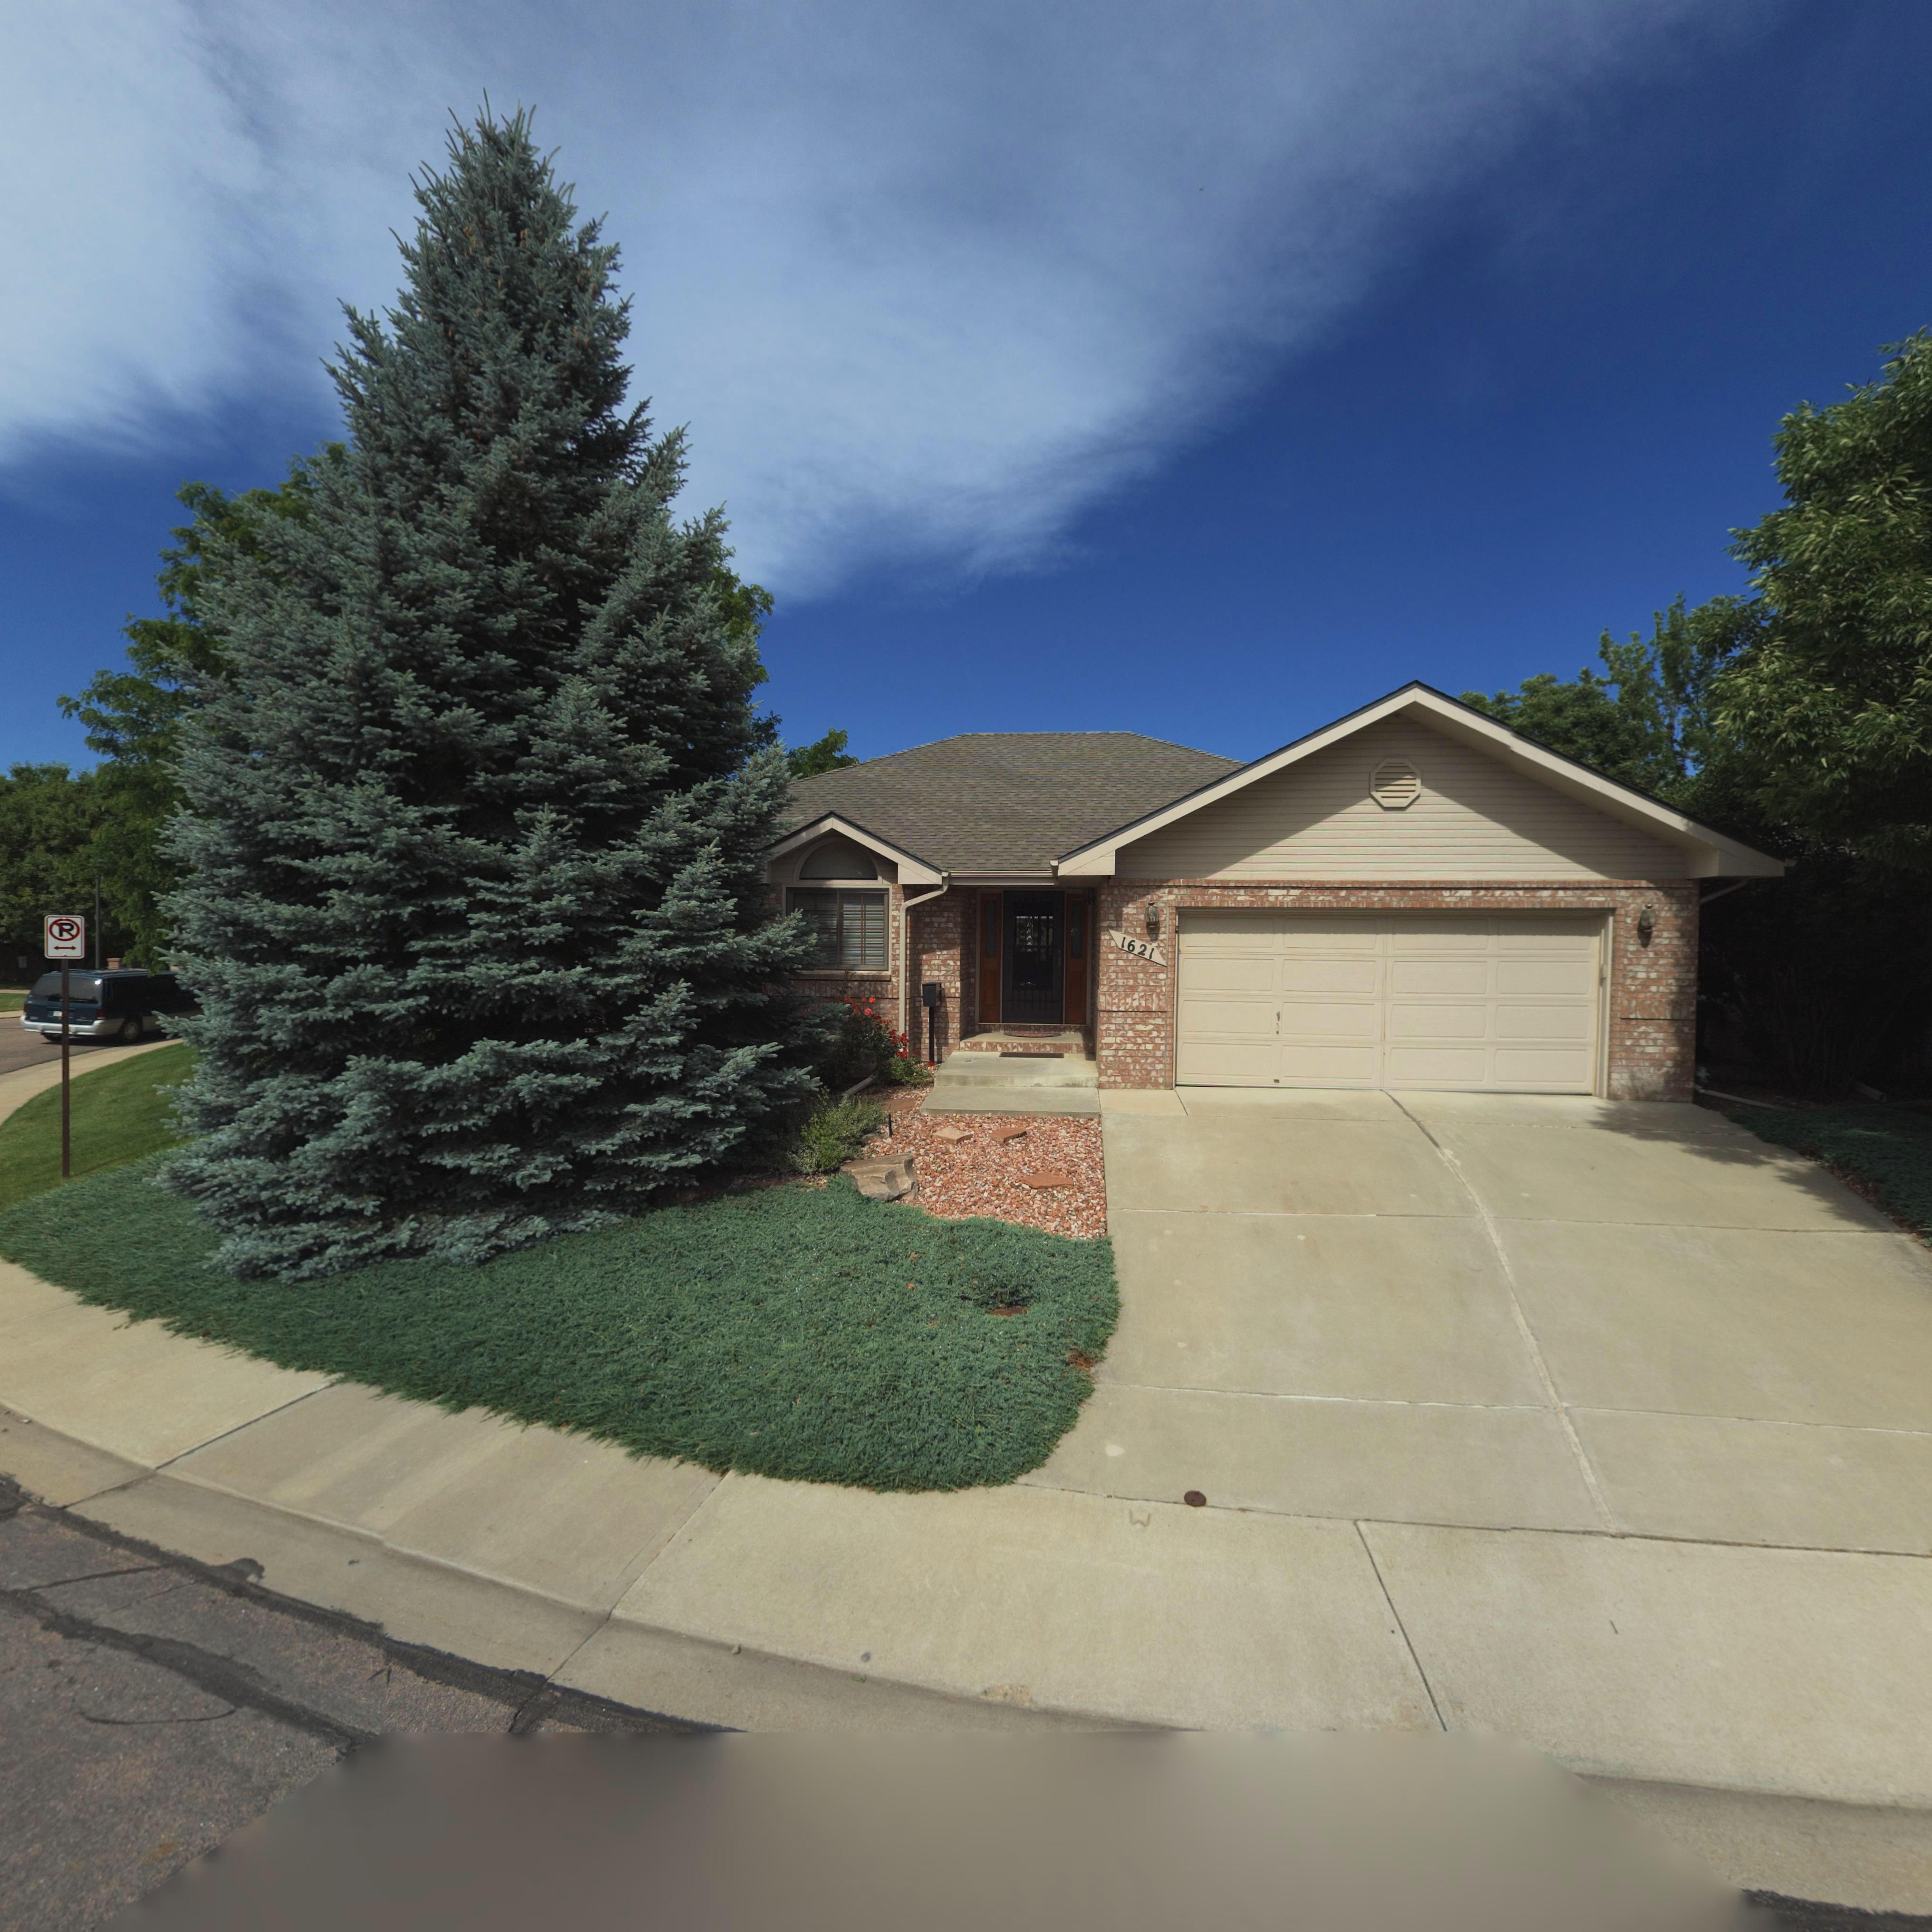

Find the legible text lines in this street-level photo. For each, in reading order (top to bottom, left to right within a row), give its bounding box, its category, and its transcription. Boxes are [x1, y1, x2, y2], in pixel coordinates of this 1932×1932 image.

[1121, 936, 1155, 960] StreetNumber: 1621